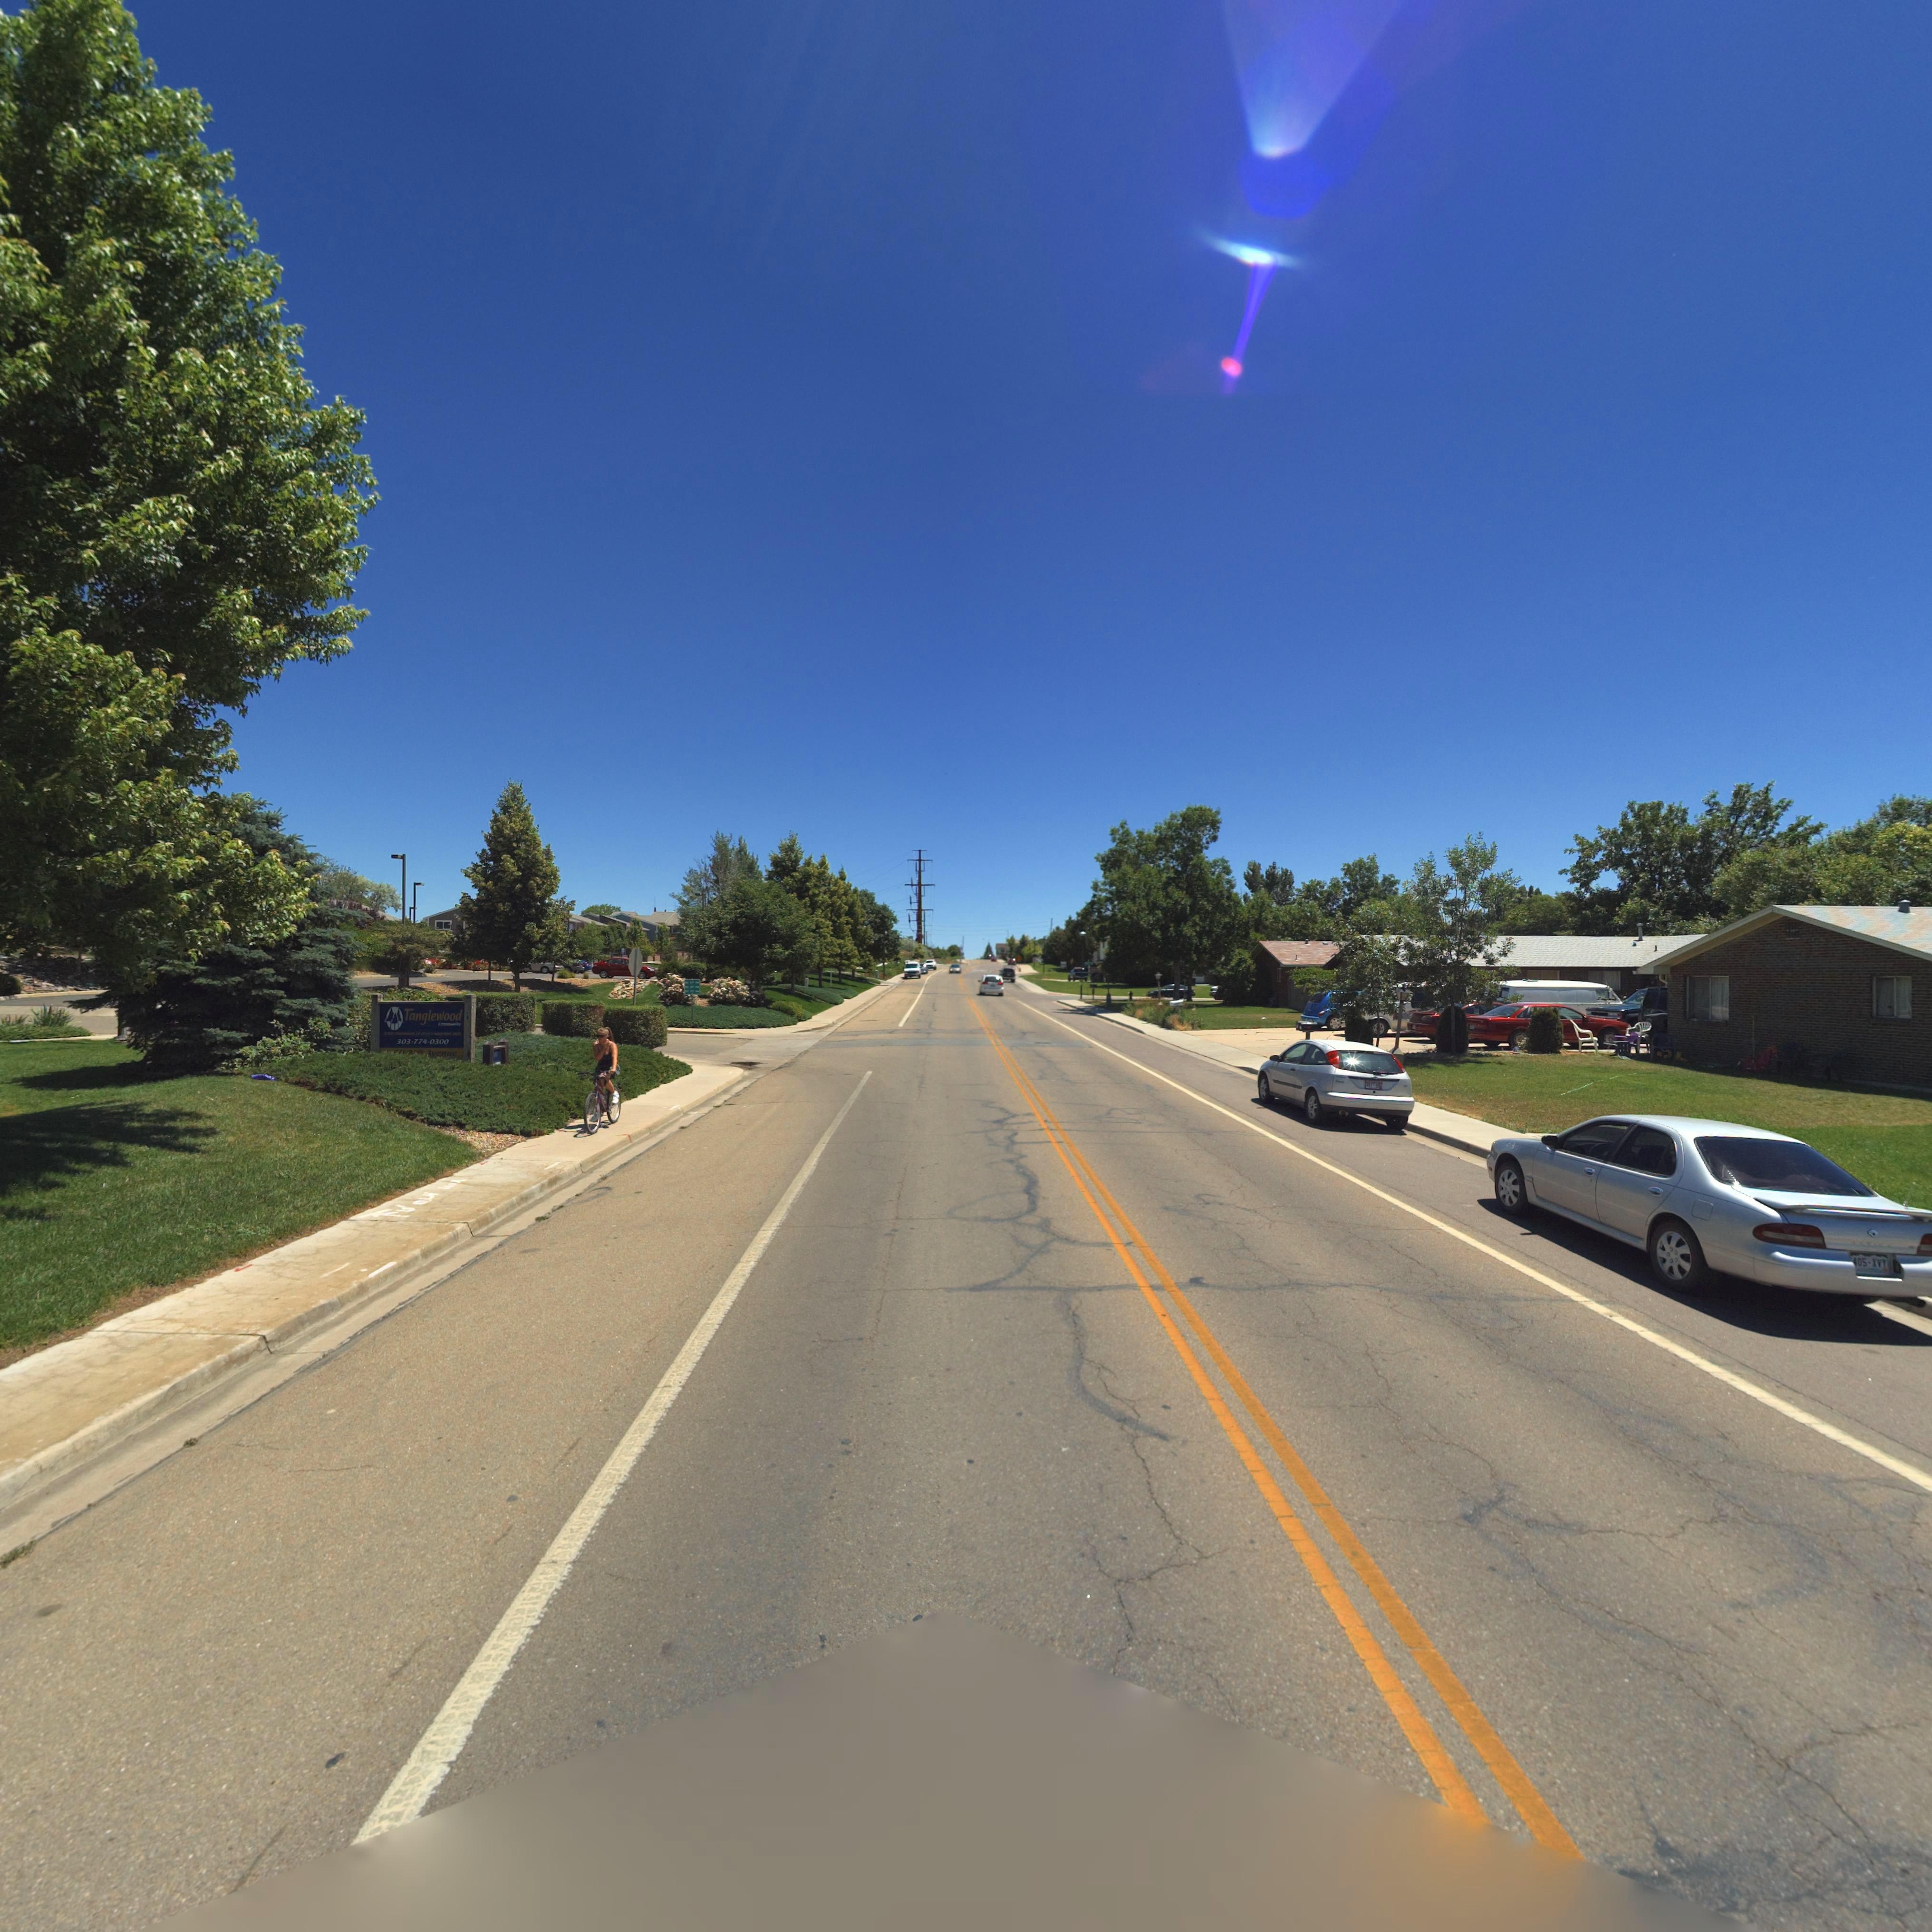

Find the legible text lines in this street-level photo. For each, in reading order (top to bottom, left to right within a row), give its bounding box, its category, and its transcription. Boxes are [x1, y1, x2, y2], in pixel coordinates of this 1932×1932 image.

[685, 981, 689, 984] StreetNumber: *0
[689, 981, 699, 984] StreetName: 2*** A**
[685, 985, 689, 988] StreetNumber: *2
[690, 985, 699, 988] StreetName: 2*** A**
[685, 989, 689, 993] StreetNumber: *4
[690, 989, 699, 993] StreetName: 2*** A**
[407, 1049, 457, 1056] StreetName: **** Avenue
[493, 1051, 498, 1057] StreetNumber: *0